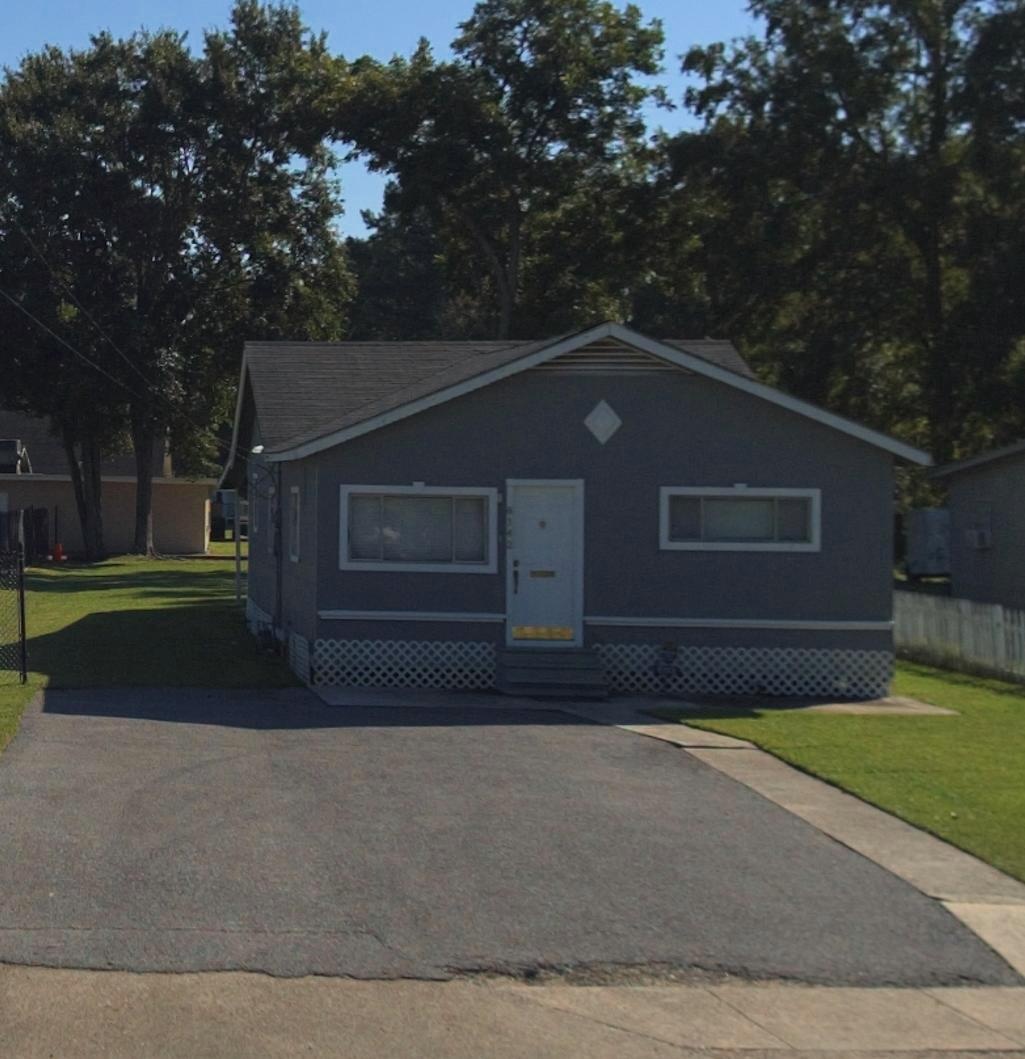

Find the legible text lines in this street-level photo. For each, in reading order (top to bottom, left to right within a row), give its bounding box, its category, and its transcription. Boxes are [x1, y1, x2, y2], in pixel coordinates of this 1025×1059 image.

[505, 504, 514, 550] StreetNumber: 6142